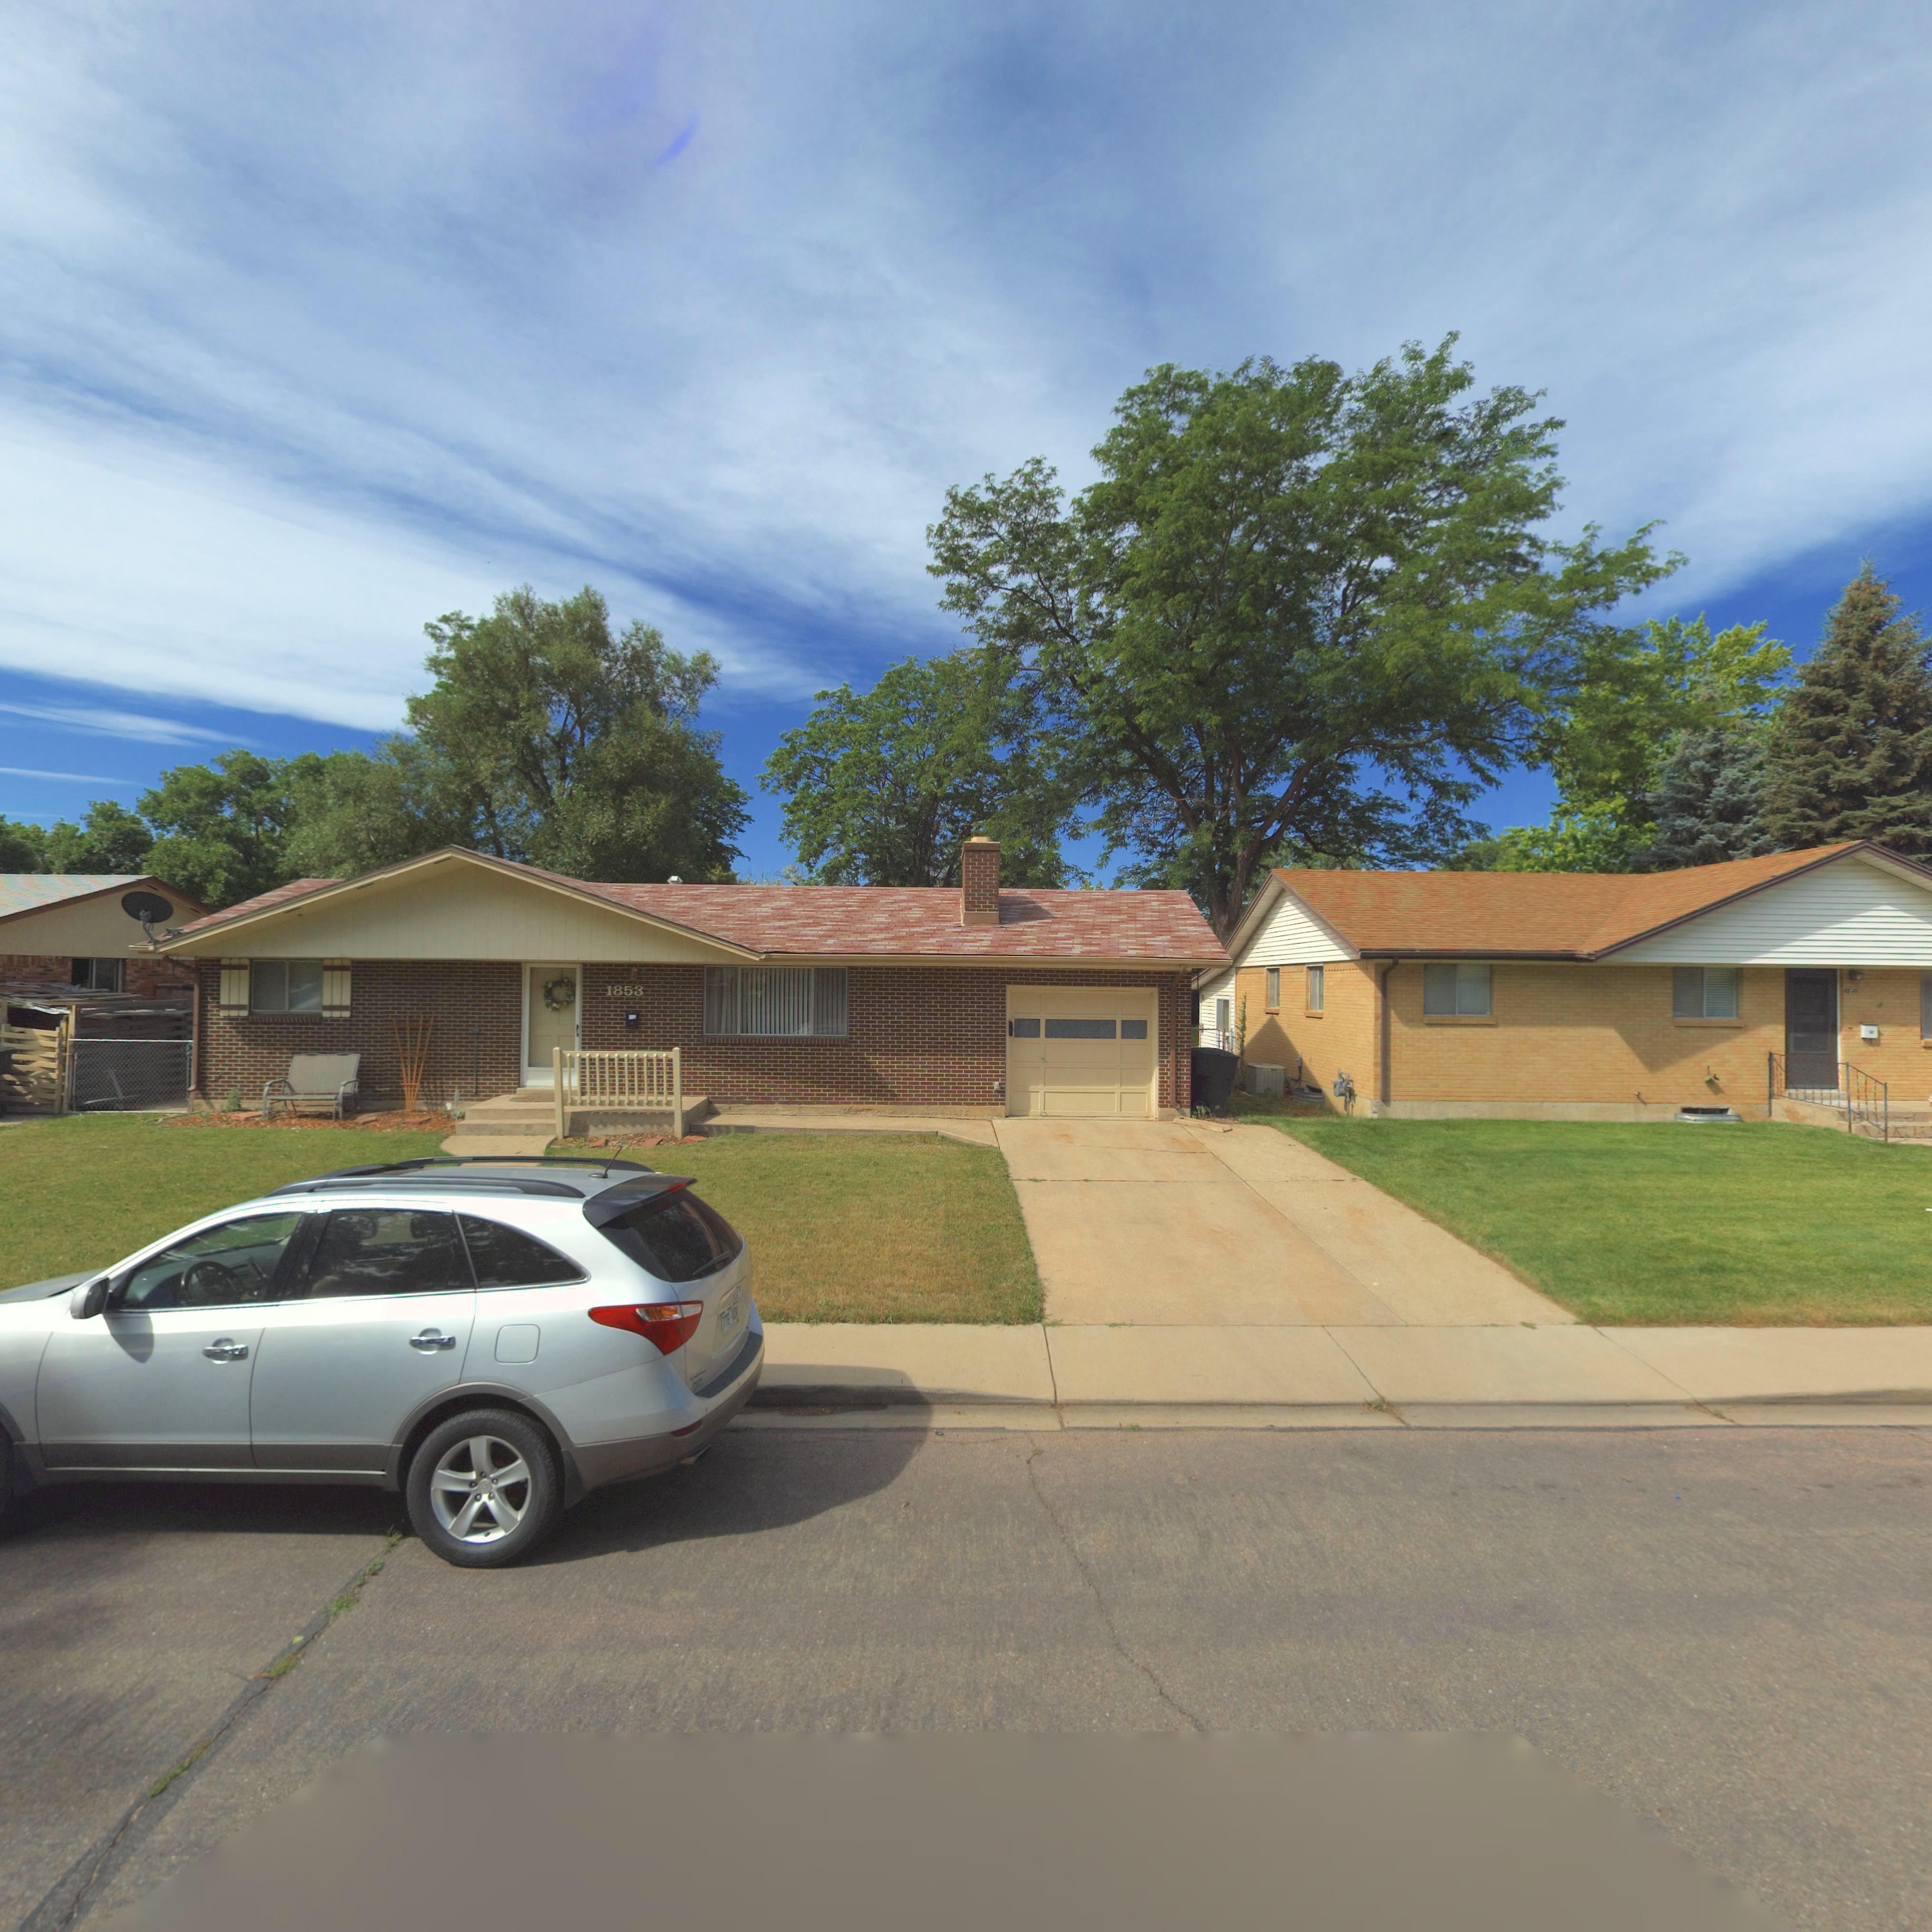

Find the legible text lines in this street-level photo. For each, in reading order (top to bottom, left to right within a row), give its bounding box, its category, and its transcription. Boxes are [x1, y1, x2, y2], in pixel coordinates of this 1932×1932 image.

[605, 985, 644, 996] StreetNumber: 1853